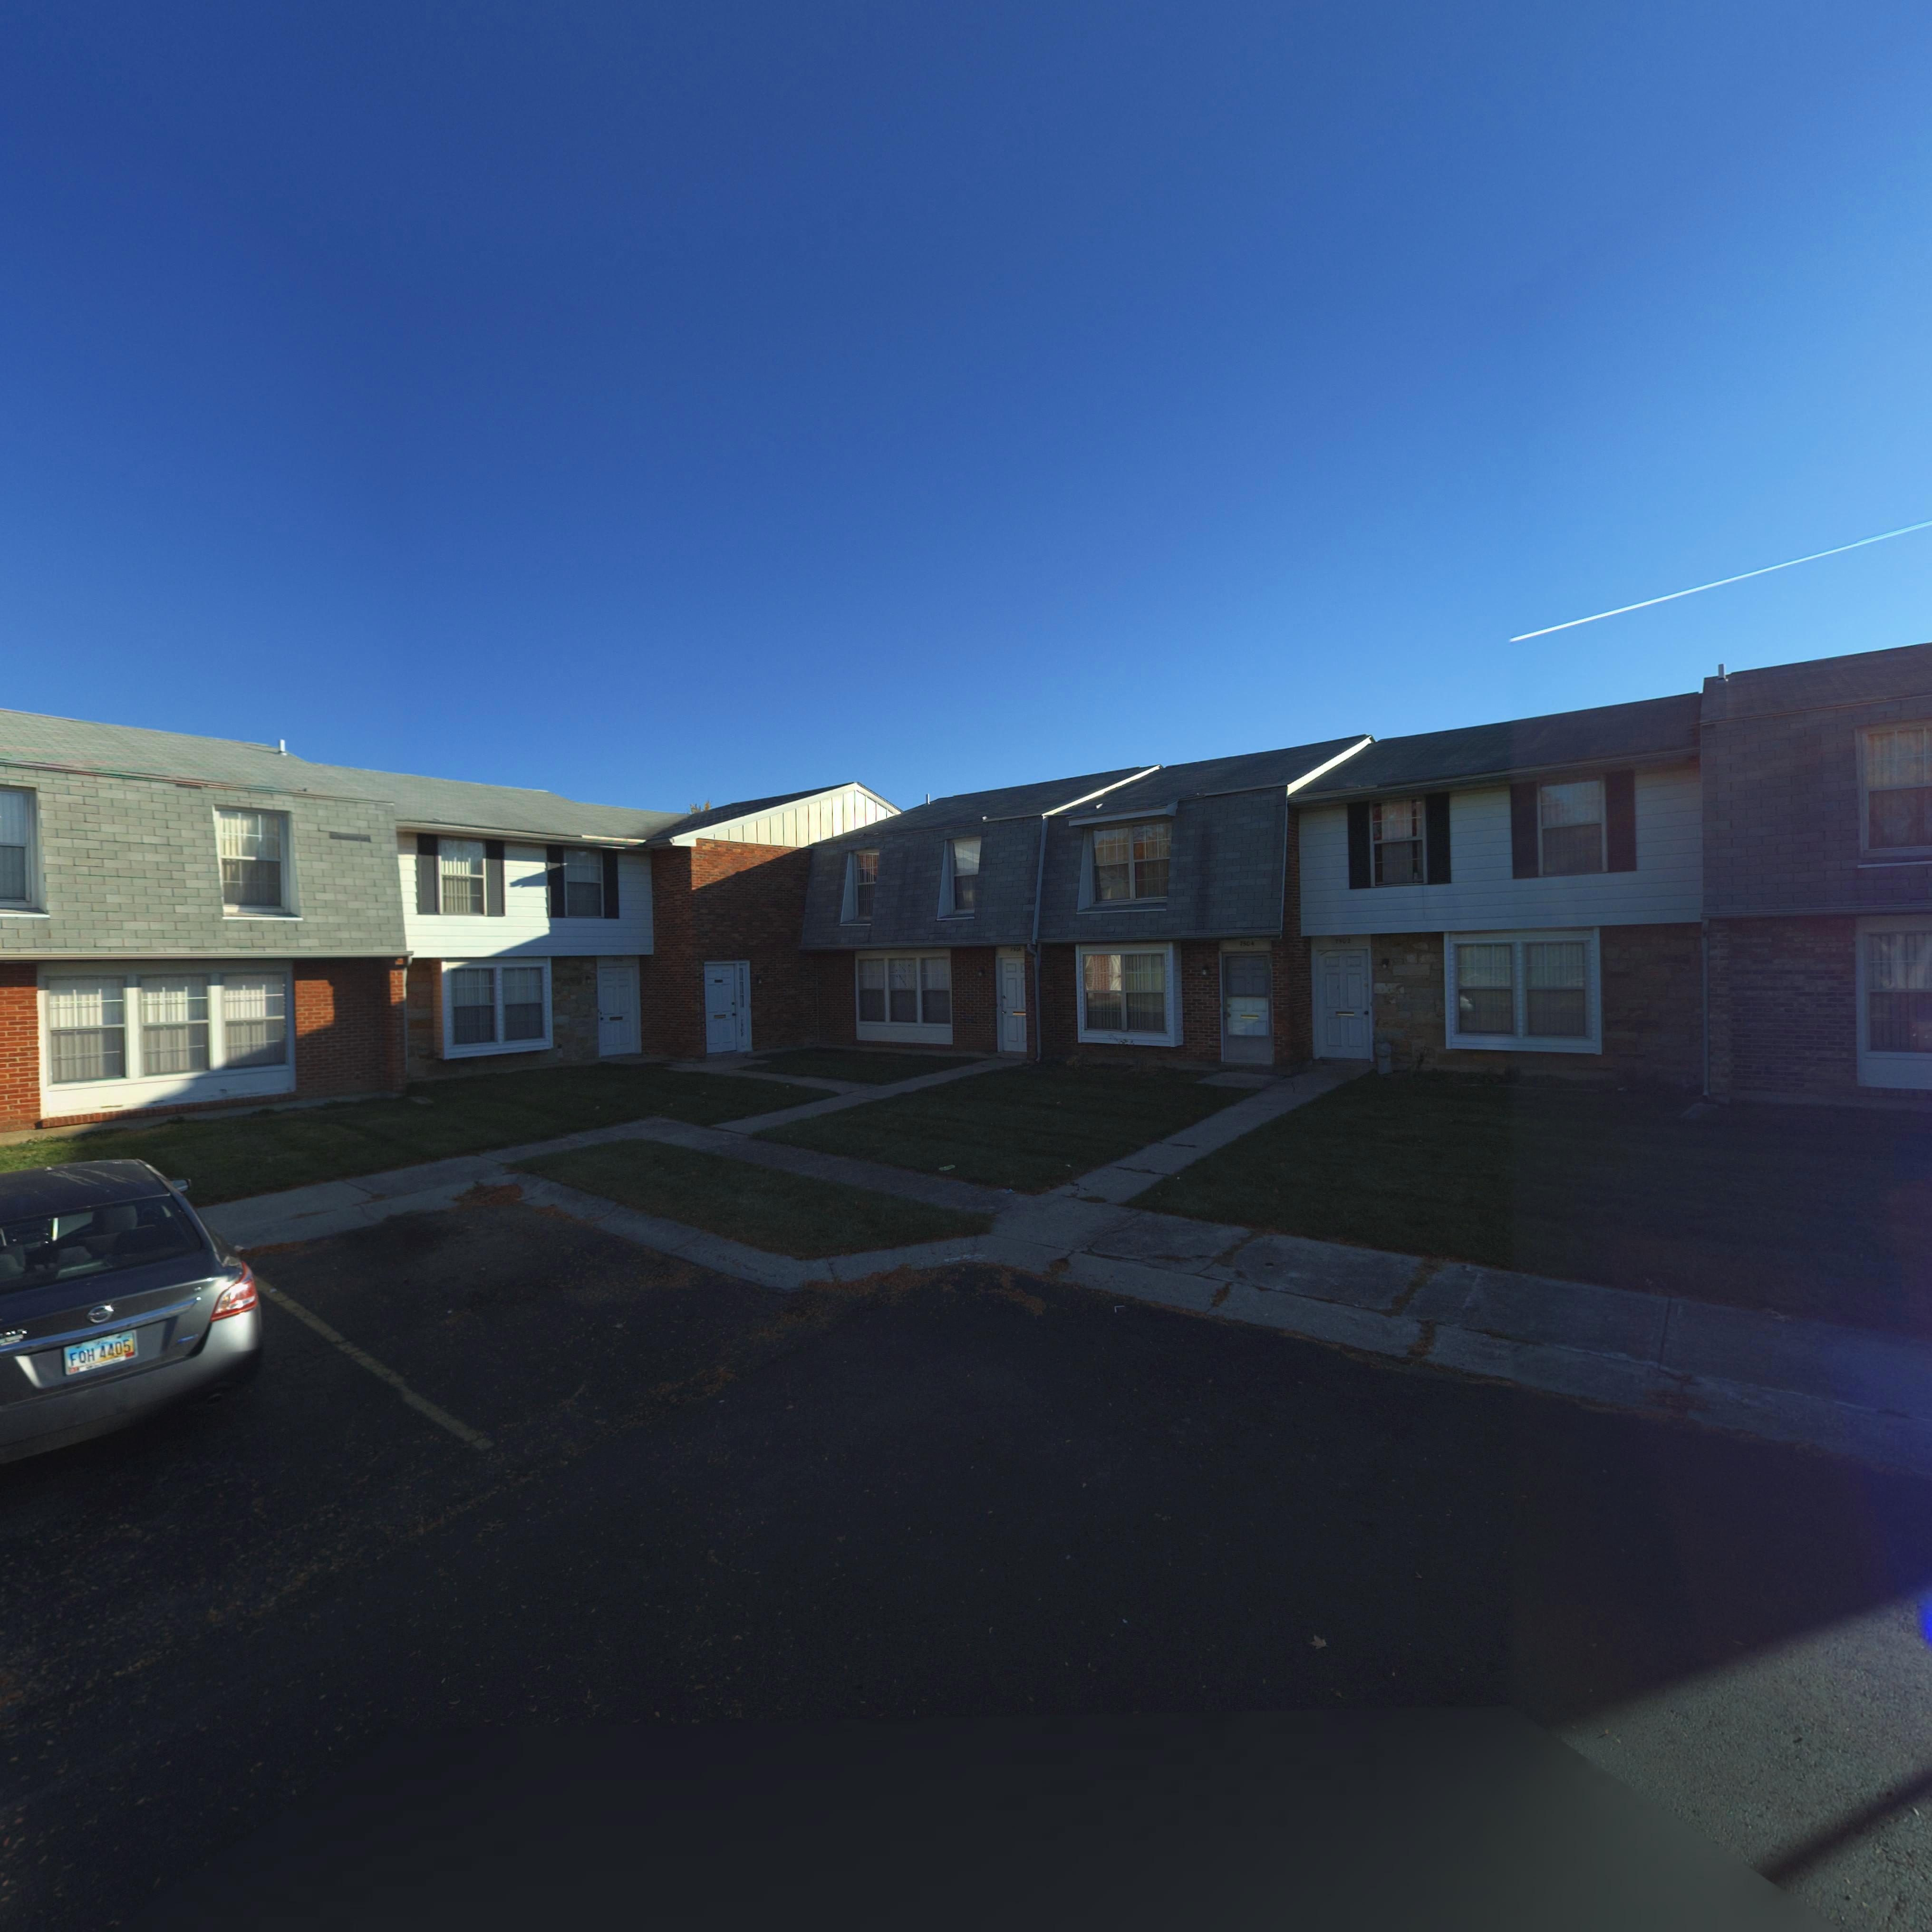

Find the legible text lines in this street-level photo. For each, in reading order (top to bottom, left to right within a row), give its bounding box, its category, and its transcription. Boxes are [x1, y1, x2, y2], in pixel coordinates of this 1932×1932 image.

[1239, 939, 1256, 948] StreetNumber: *504
[1334, 937, 1352, 945] StreetNumber: 7*0*
[1009, 946, 1023, 953] StreetNumber: 7506